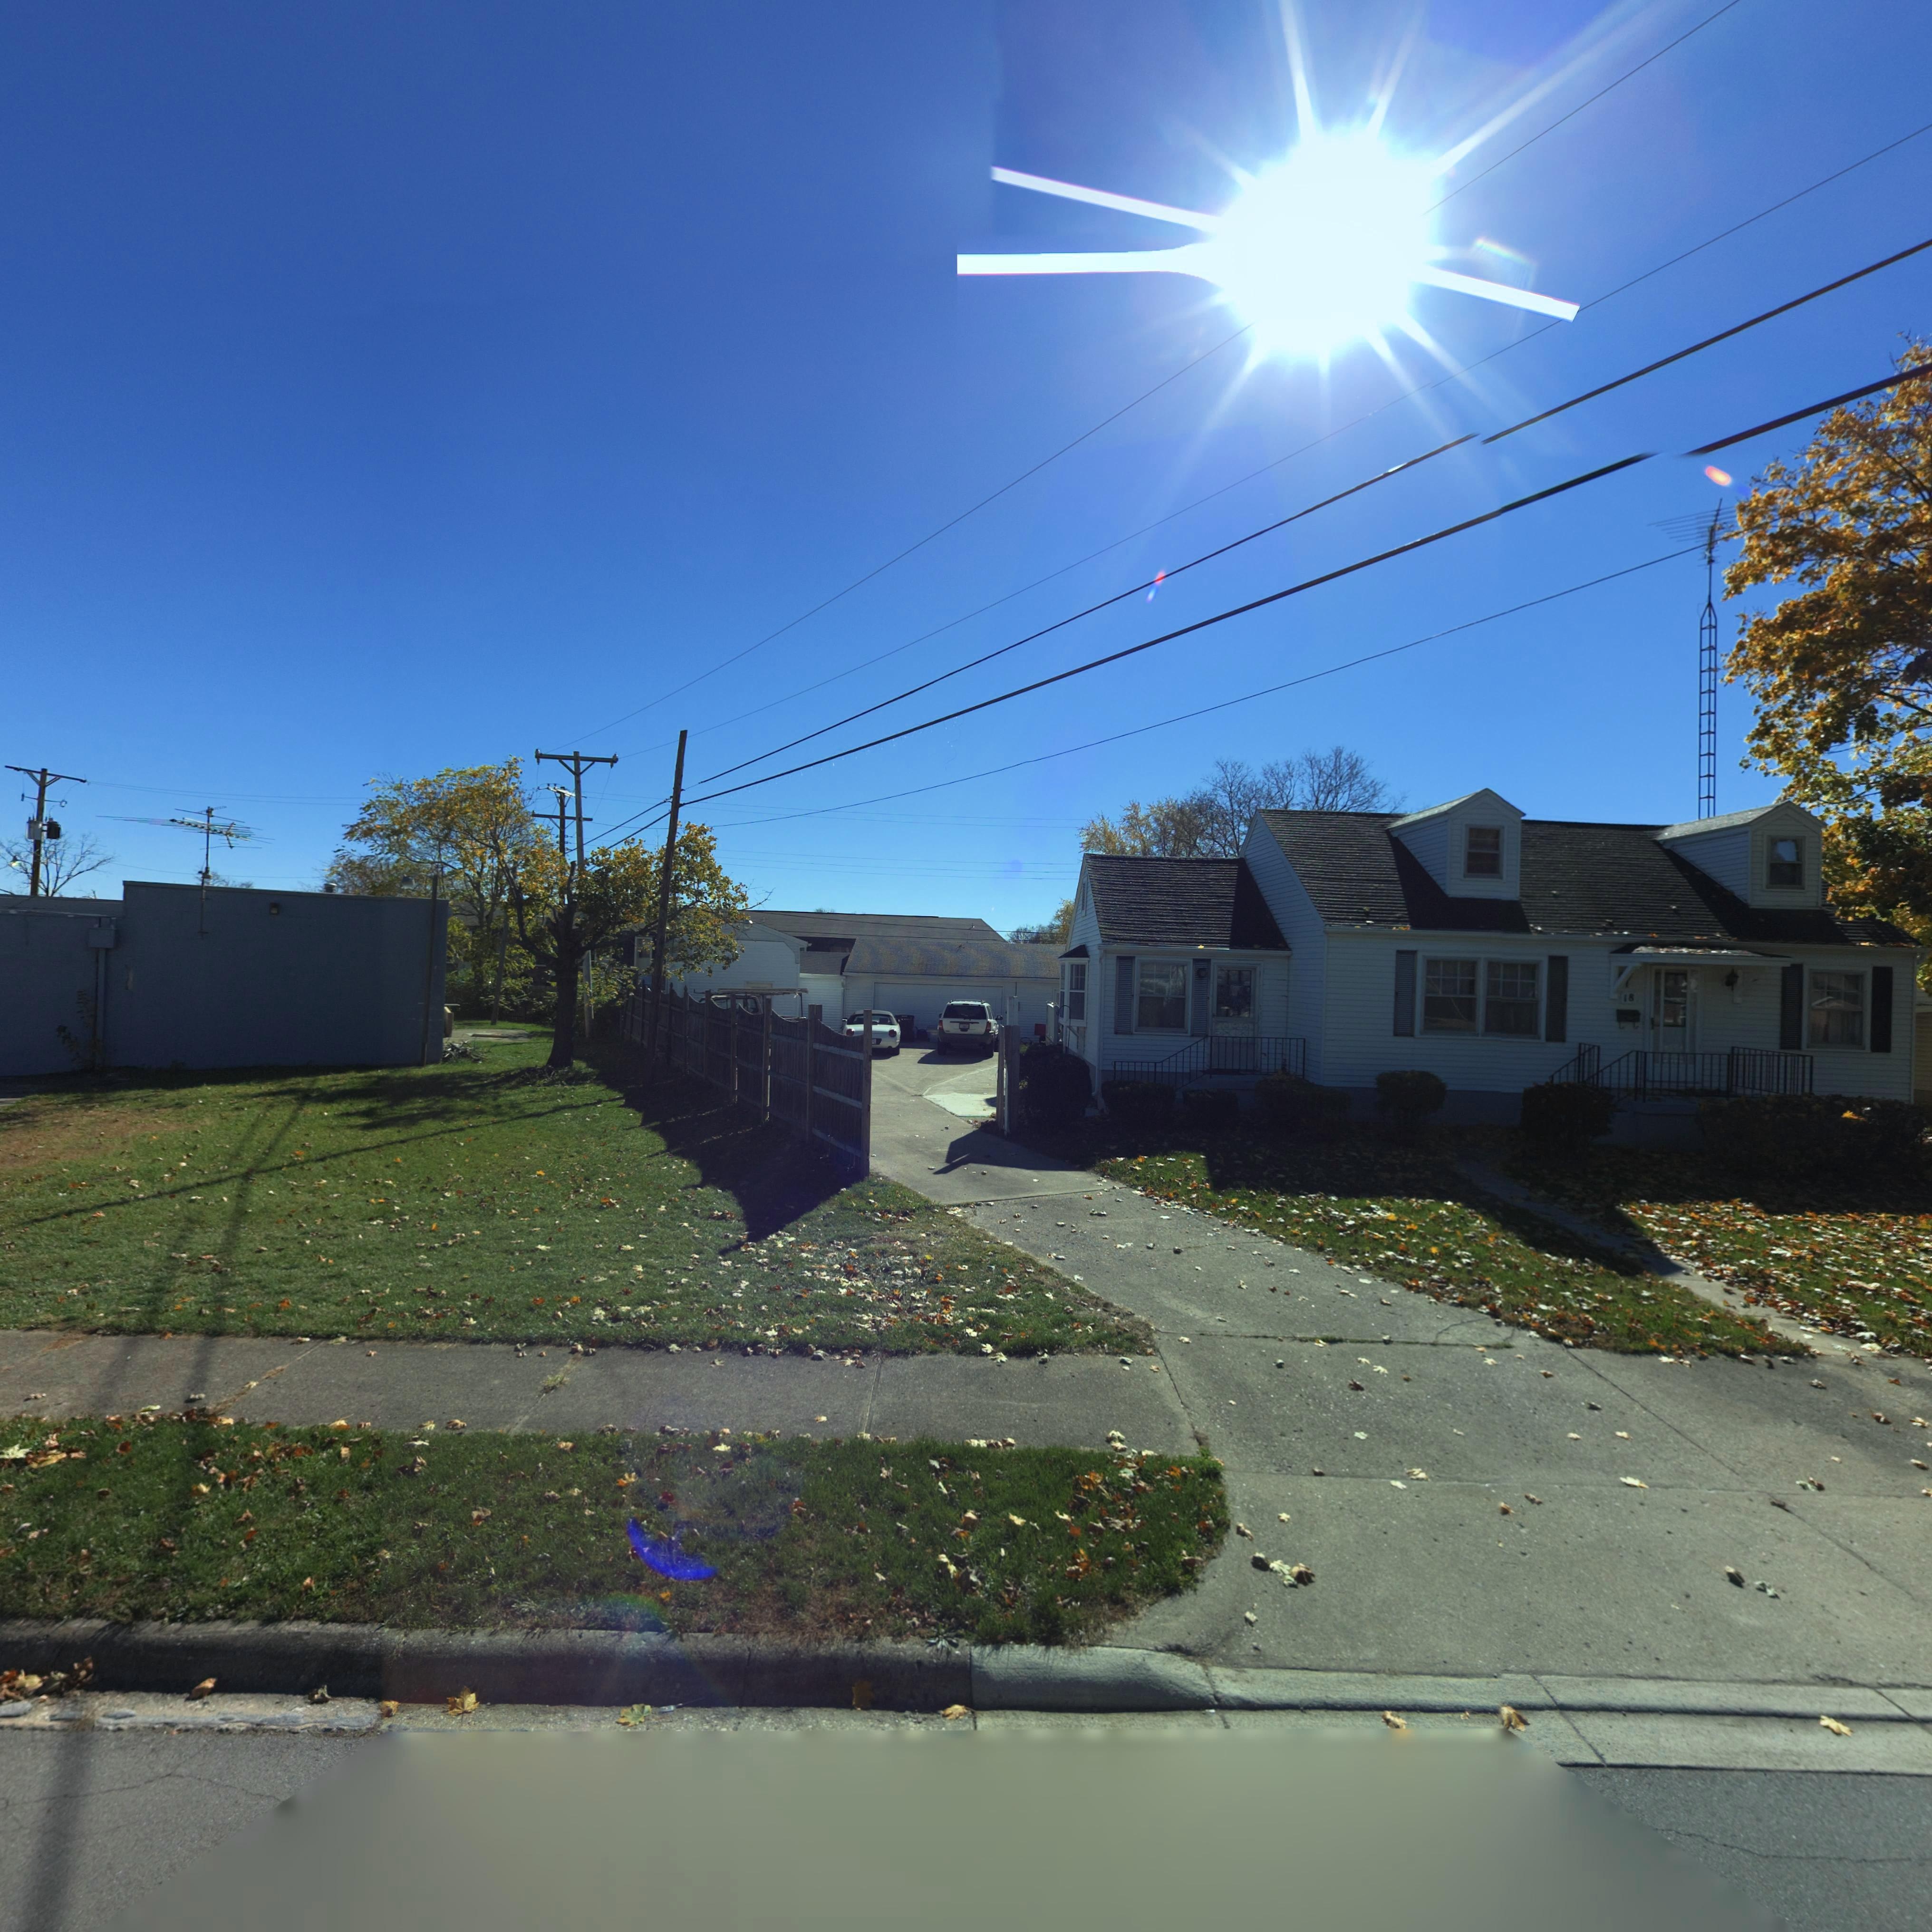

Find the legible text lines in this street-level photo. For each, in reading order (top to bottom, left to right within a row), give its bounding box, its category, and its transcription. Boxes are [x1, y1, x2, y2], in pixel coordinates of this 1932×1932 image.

[1623, 992, 1635, 1004] StreetNumber: 18